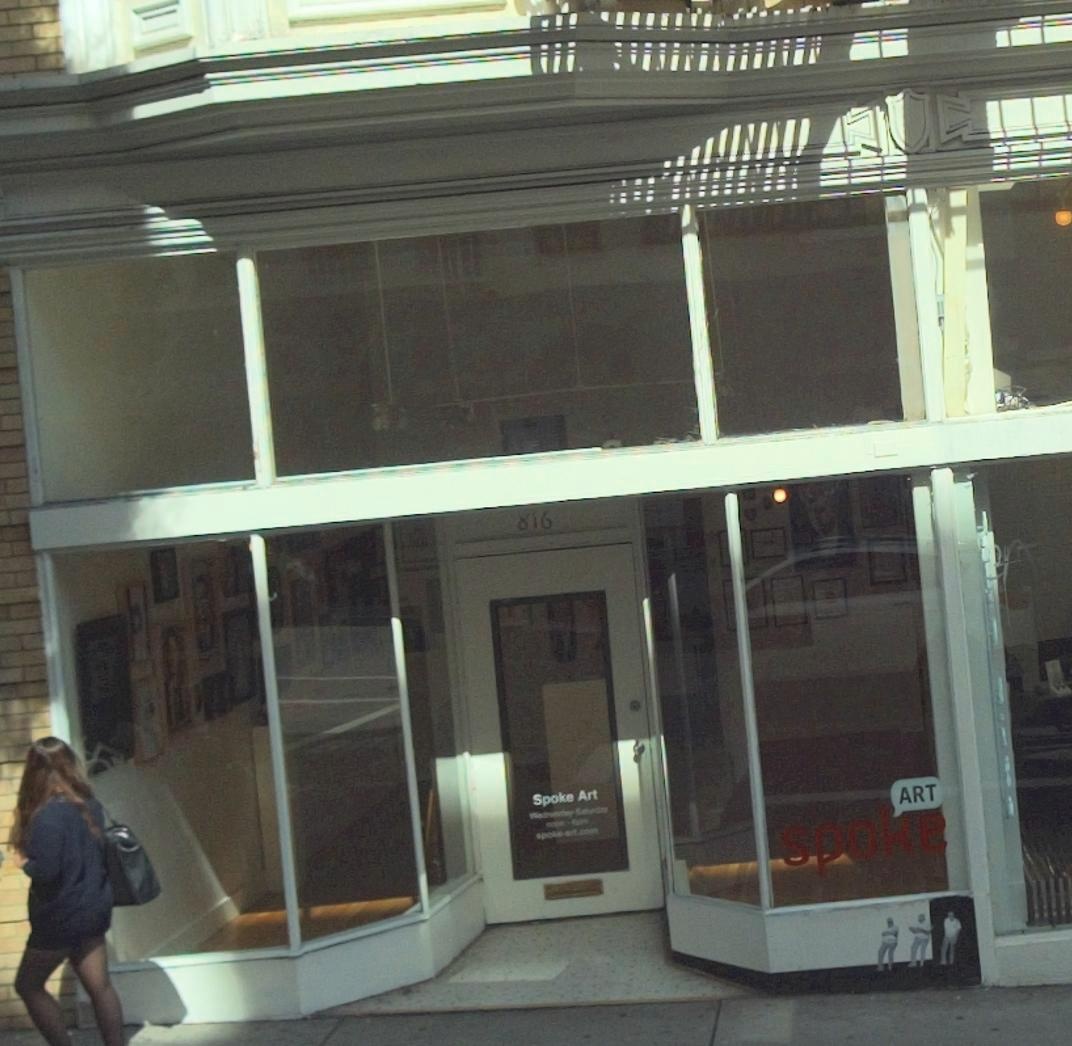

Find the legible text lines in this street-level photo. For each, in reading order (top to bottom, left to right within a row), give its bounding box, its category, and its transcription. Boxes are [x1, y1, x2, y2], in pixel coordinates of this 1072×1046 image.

[513, 505, 558, 535] StreetNumber: 816
[528, 783, 603, 812] BusinessName: Spoke Art
[895, 777, 942, 811] BusinessName: ART
[776, 796, 954, 888] BusinessName: spoke